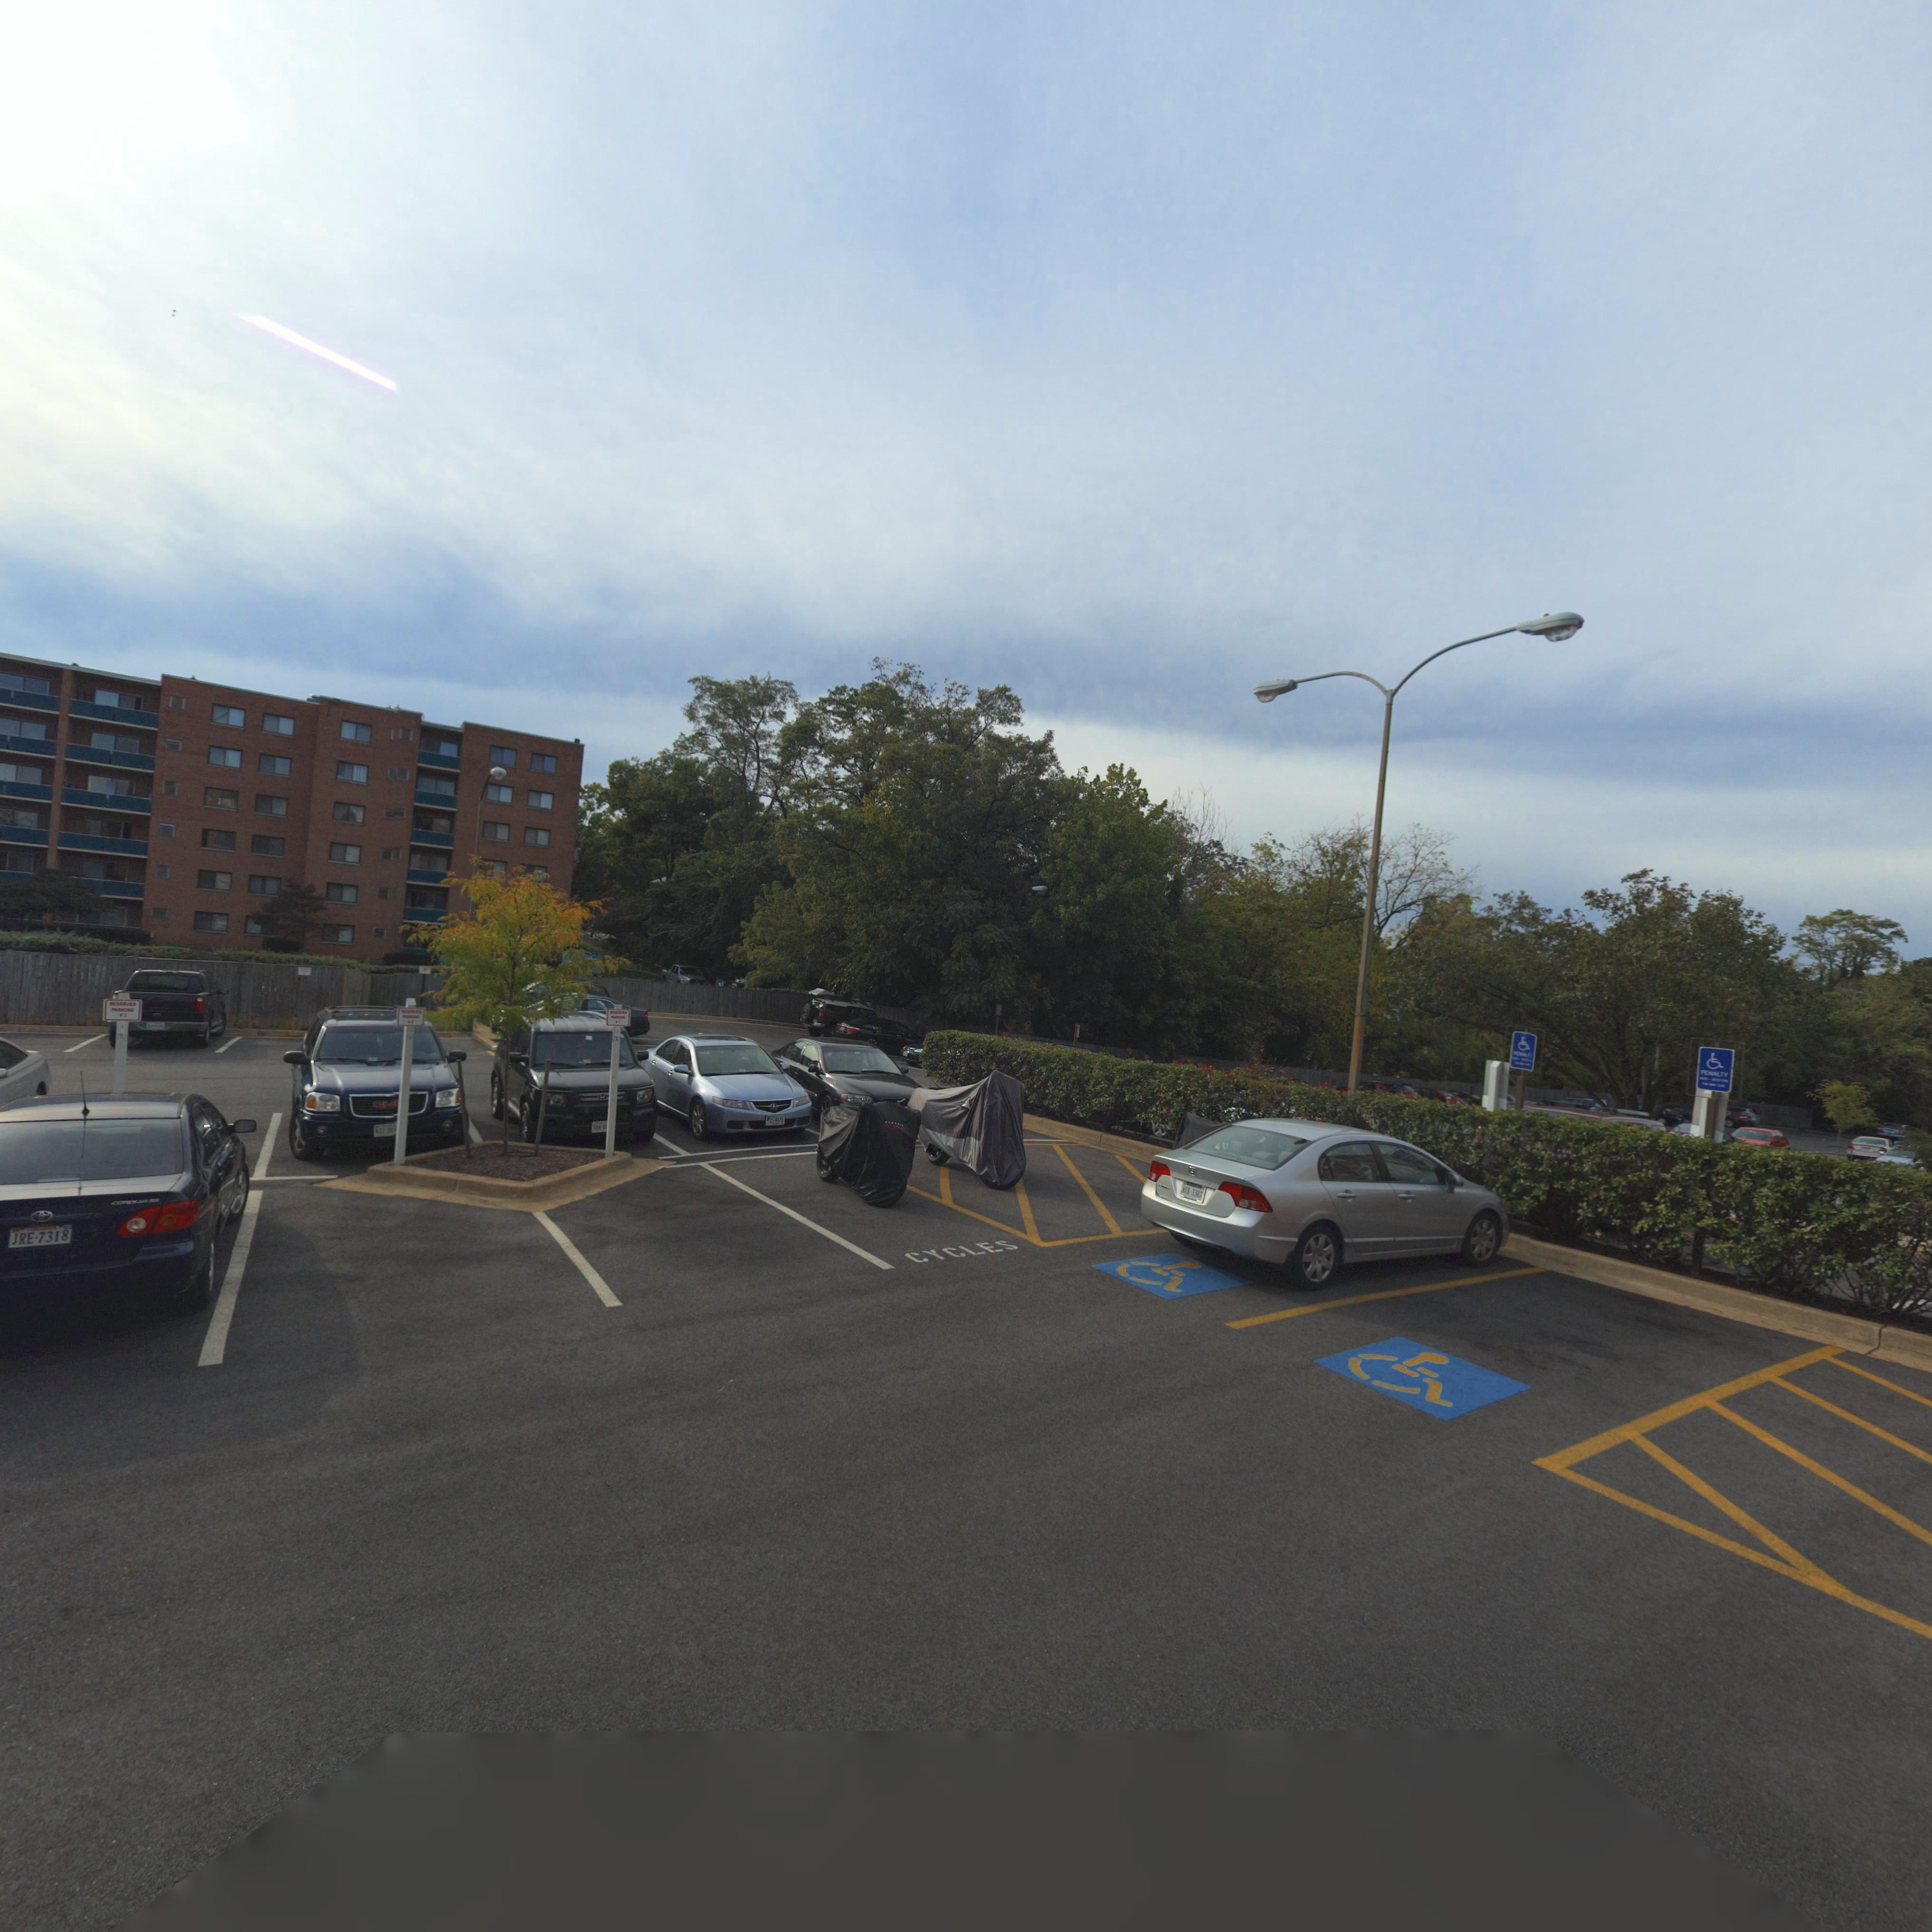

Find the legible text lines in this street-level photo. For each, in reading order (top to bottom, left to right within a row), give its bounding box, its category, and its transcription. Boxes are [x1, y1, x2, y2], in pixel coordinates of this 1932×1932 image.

[1700, 1068, 1729, 1079] None: PENALTY
[372, 1101, 395, 1110] None: GM
[779, 1117, 783, 1123] None: 7
[1189, 1188, 1205, 1200] None: 3307
[108, 1198, 149, 1206] None: CO*OLLA
[8, 1228, 71, 1247] None: JRE-7318
[901, 1237, 1024, 1266] None: CYCLES